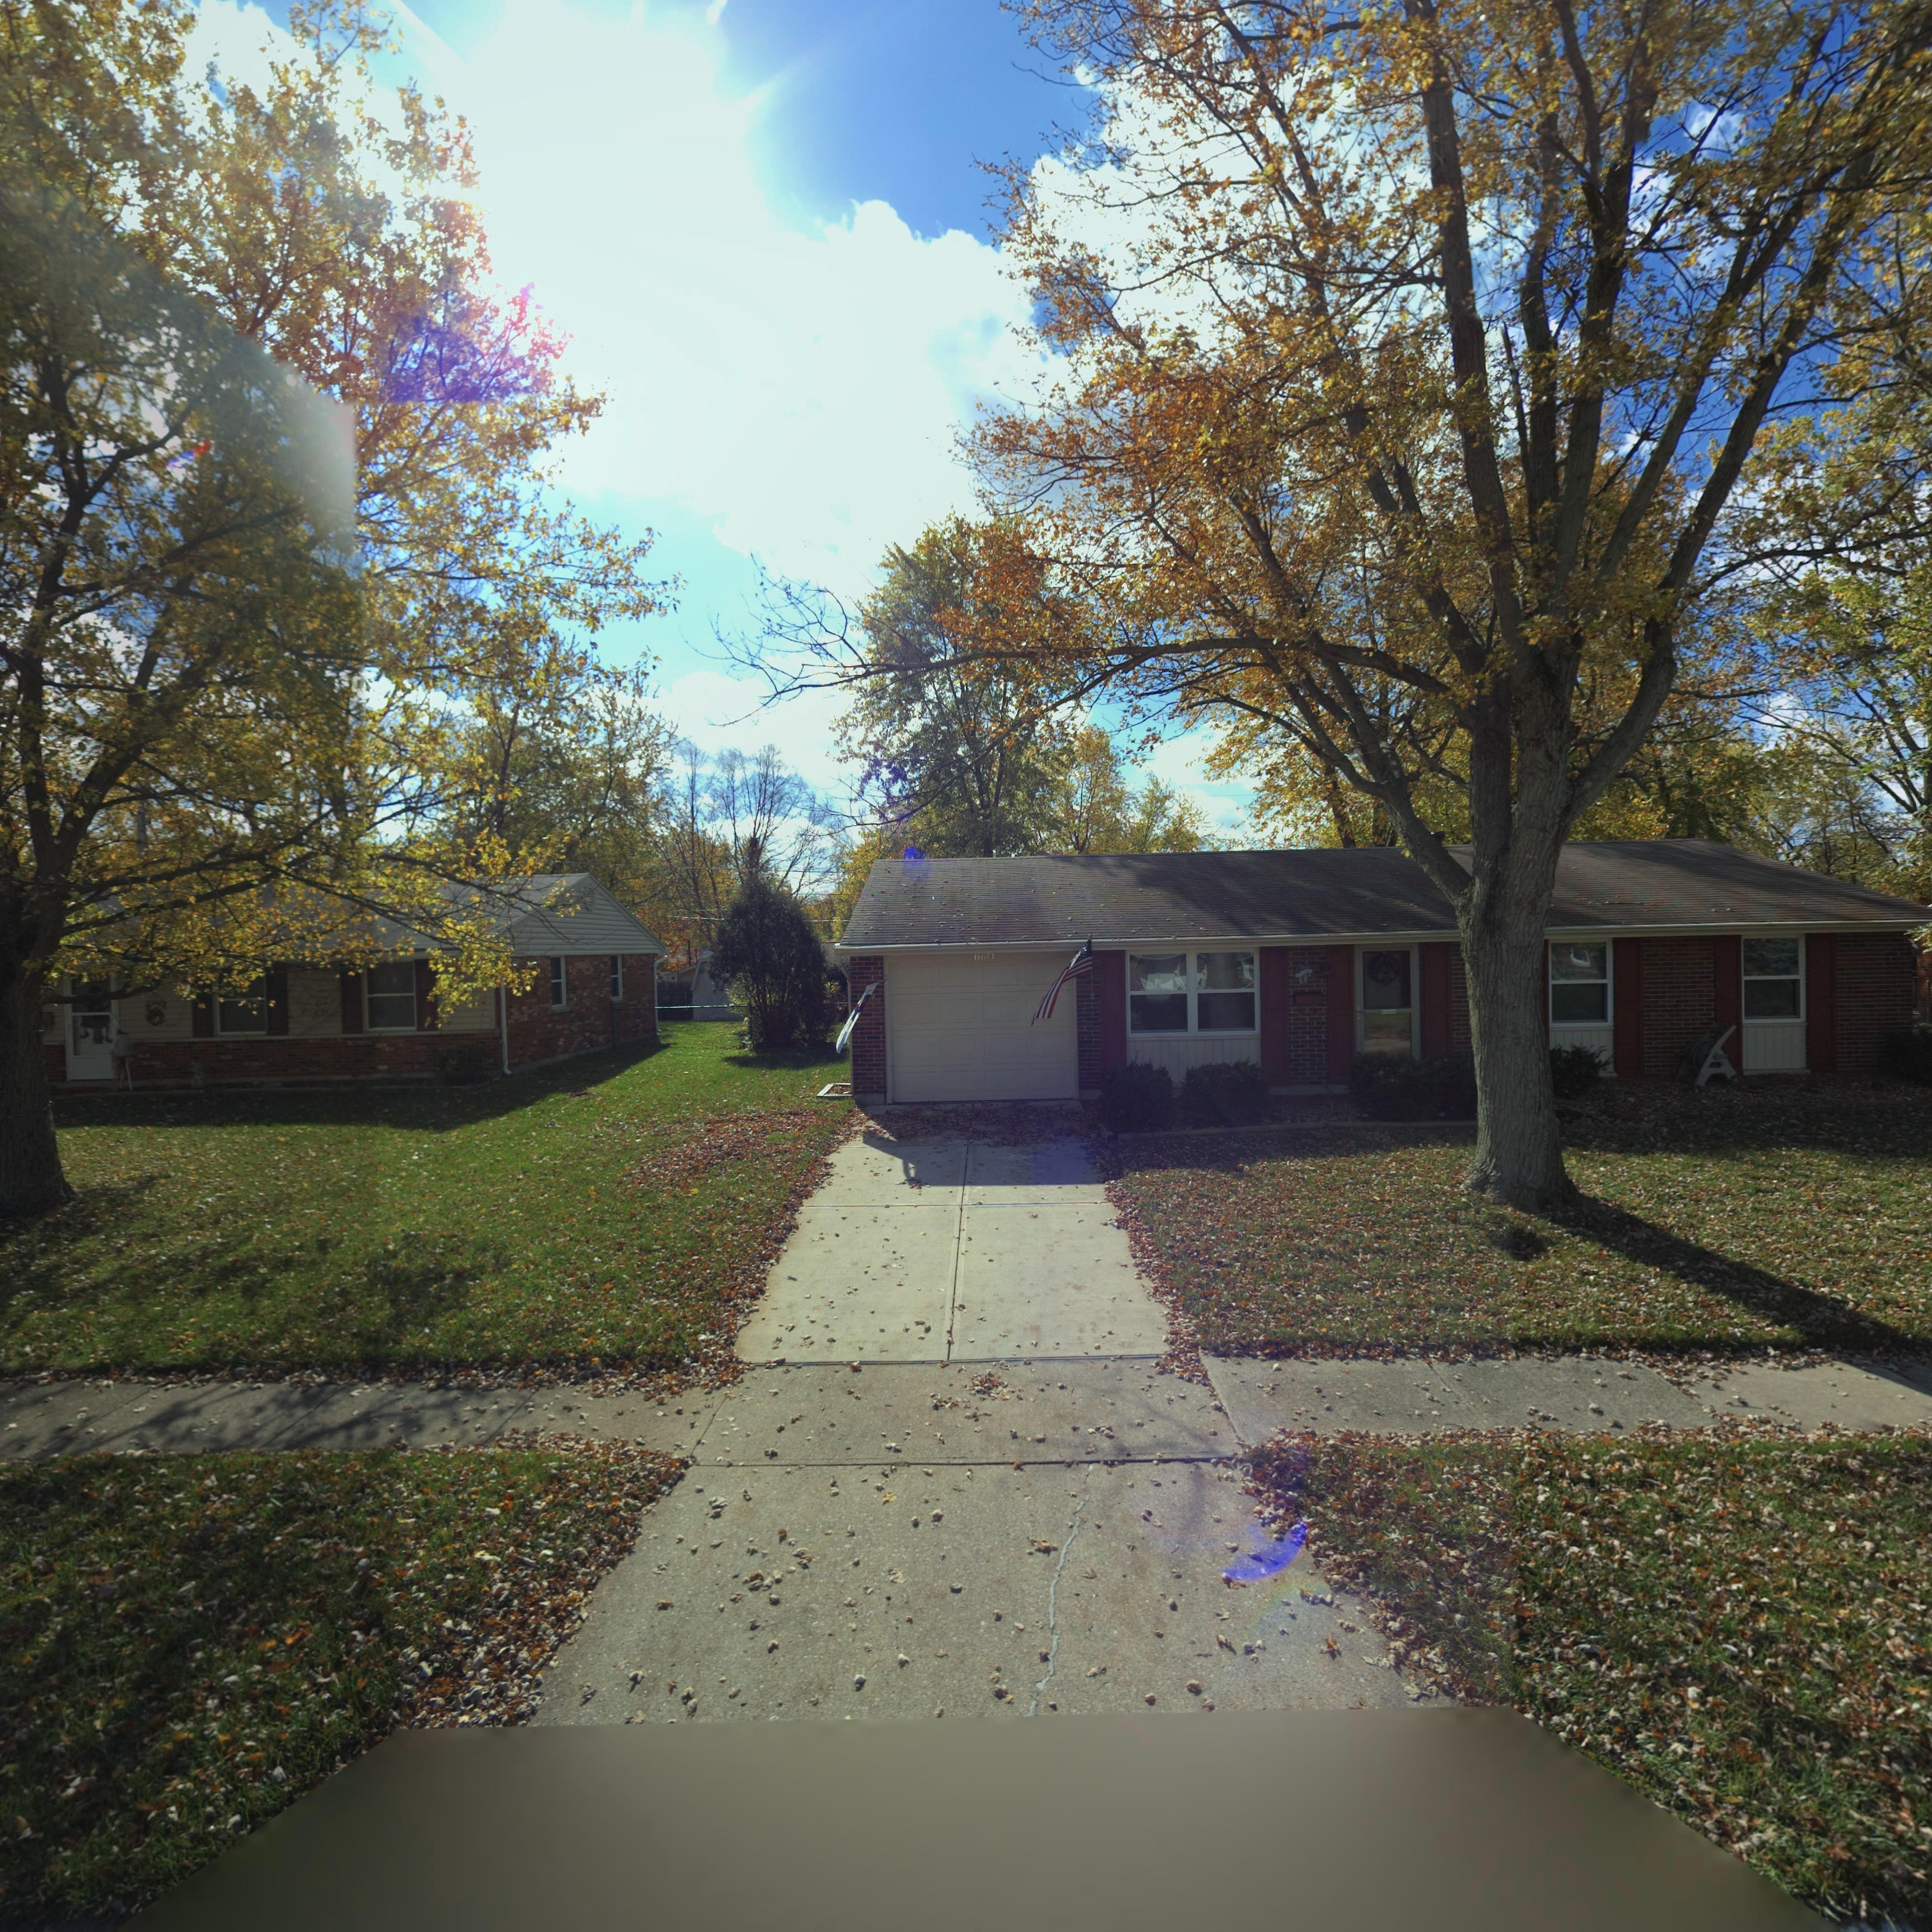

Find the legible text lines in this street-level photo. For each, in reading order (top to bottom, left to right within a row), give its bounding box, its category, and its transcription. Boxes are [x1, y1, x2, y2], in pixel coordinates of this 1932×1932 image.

[967, 952, 995, 961] StreetNumber: 7660